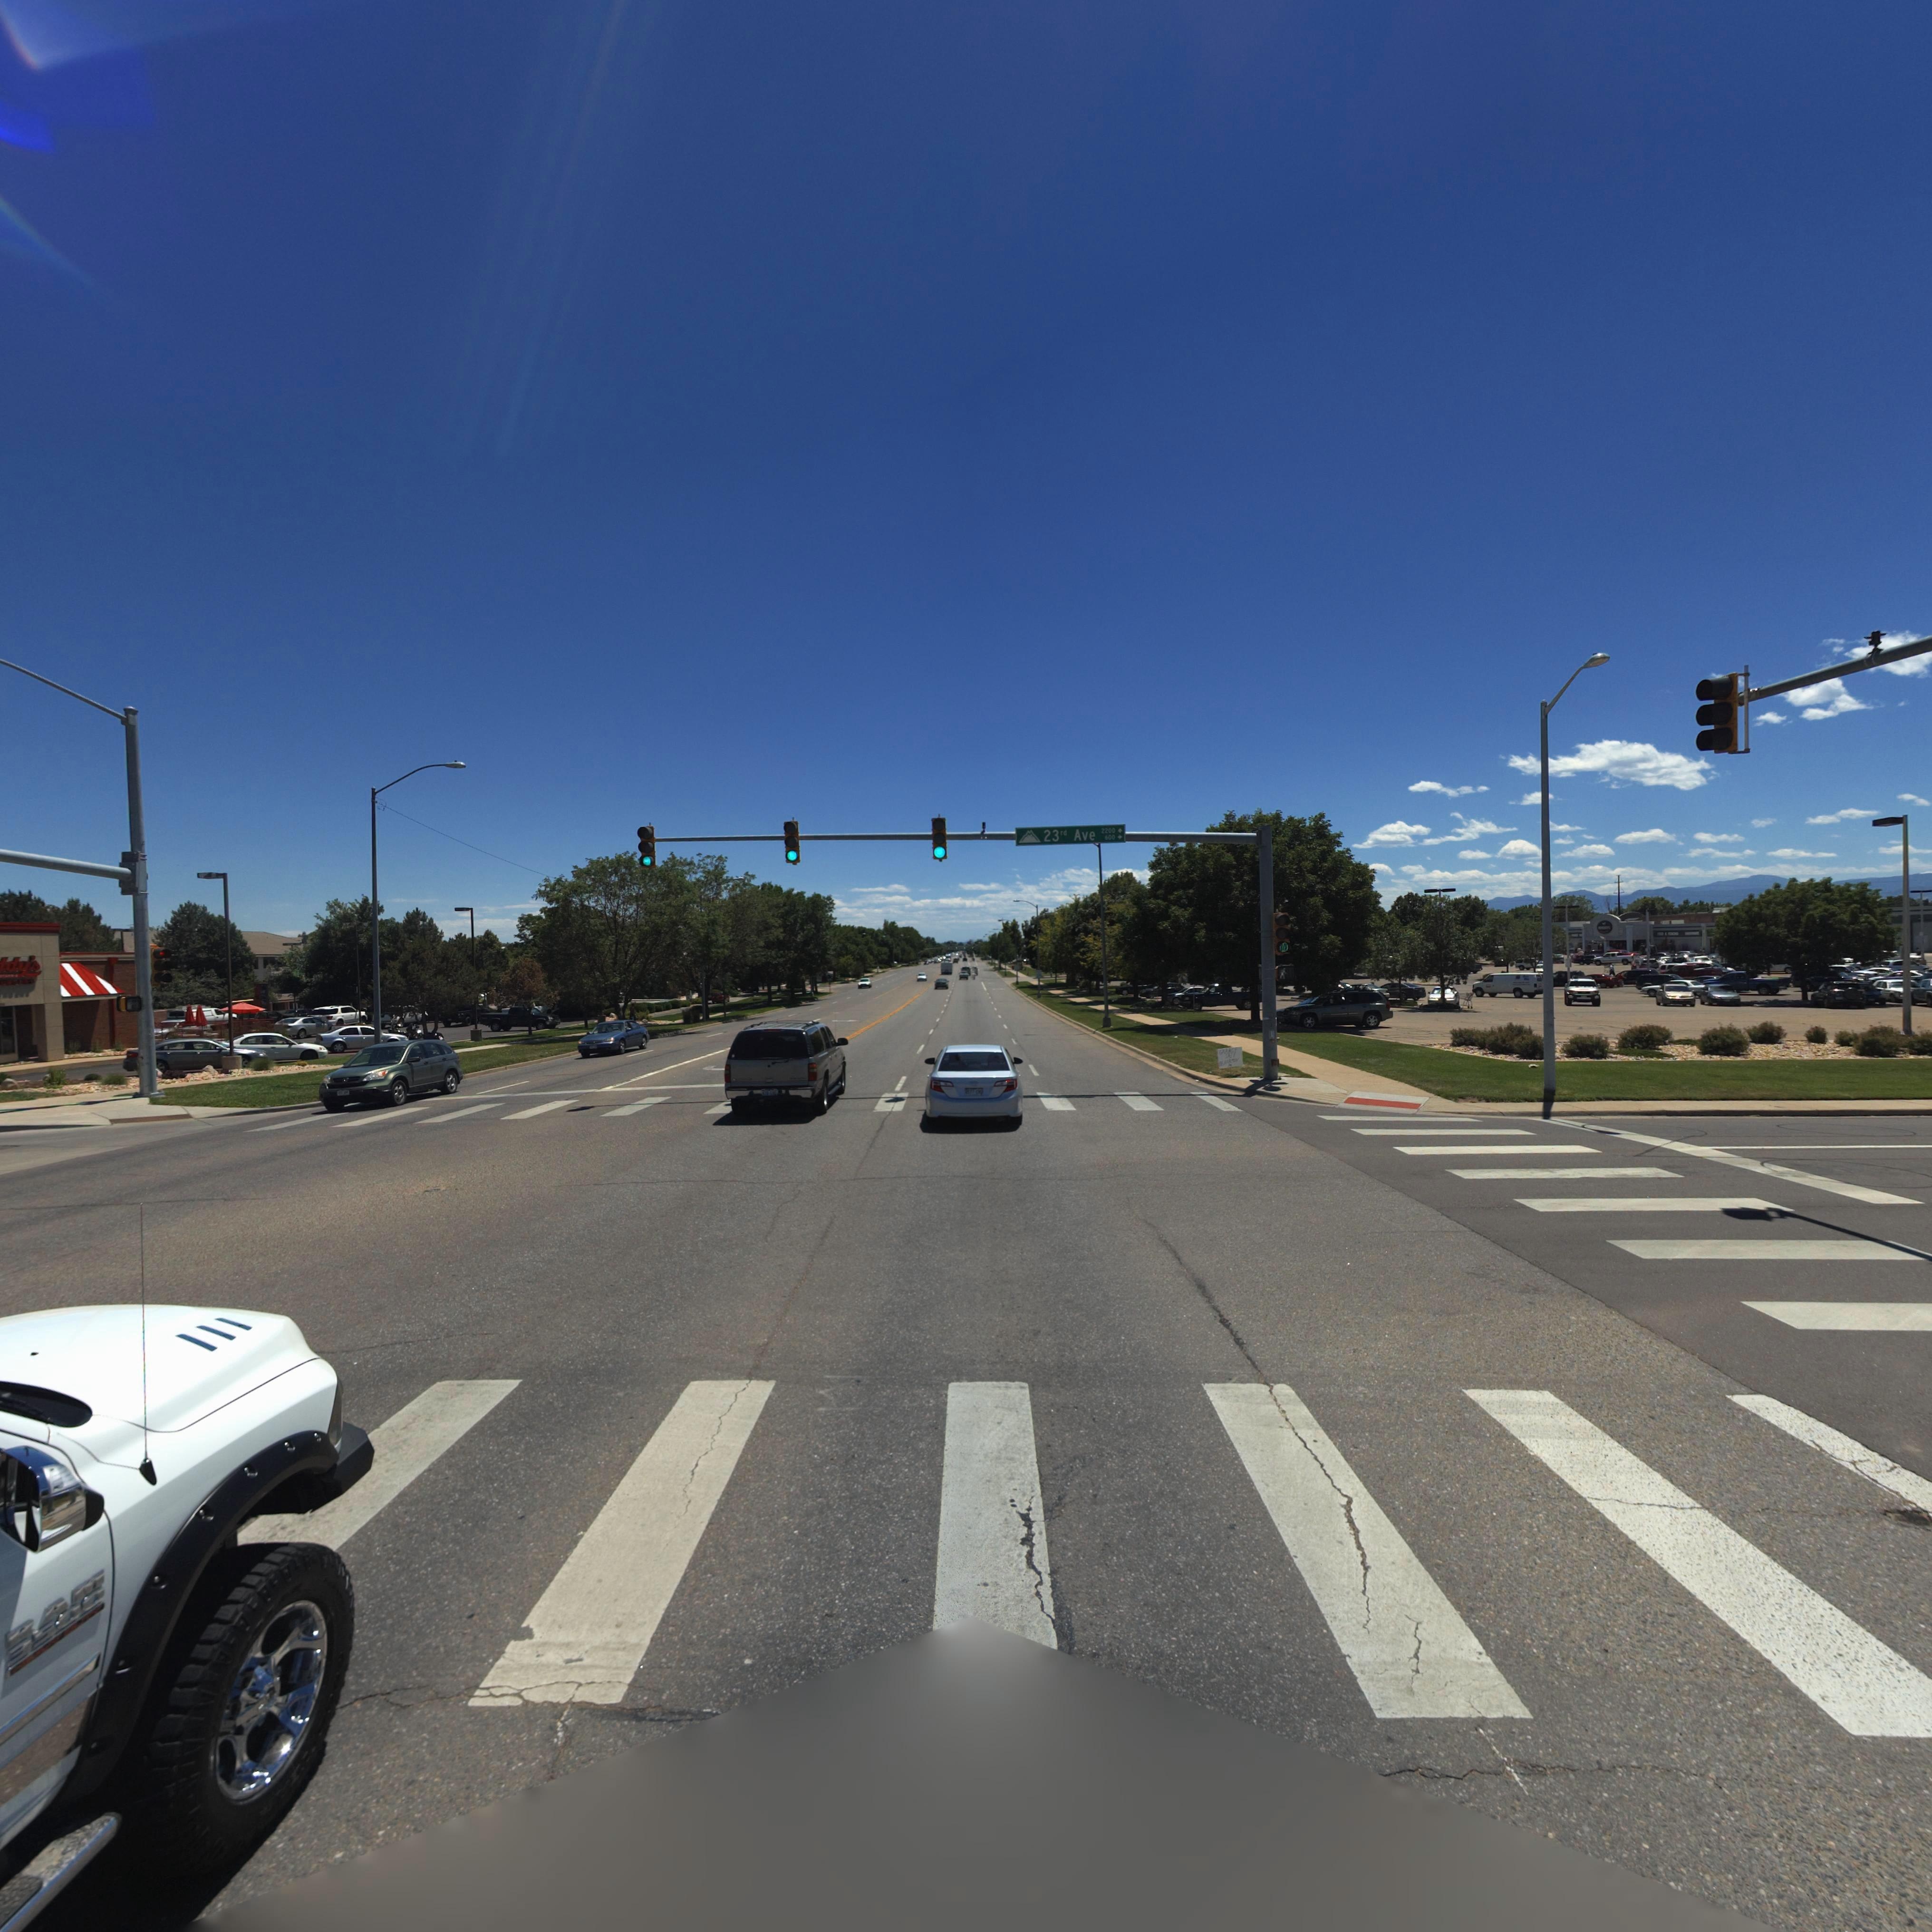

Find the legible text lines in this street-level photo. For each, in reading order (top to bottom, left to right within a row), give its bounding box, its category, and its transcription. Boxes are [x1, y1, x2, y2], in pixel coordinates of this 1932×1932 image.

[1043, 829, 1095, 841] StreetName: 23rd Ave
[1101, 827, 1115, 833] StreetNumberRange: 2200
[1104, 834, 1122, 840] StreetNumberRange: 600->
[5, 955, 40, 977] BusinessName: dy*s